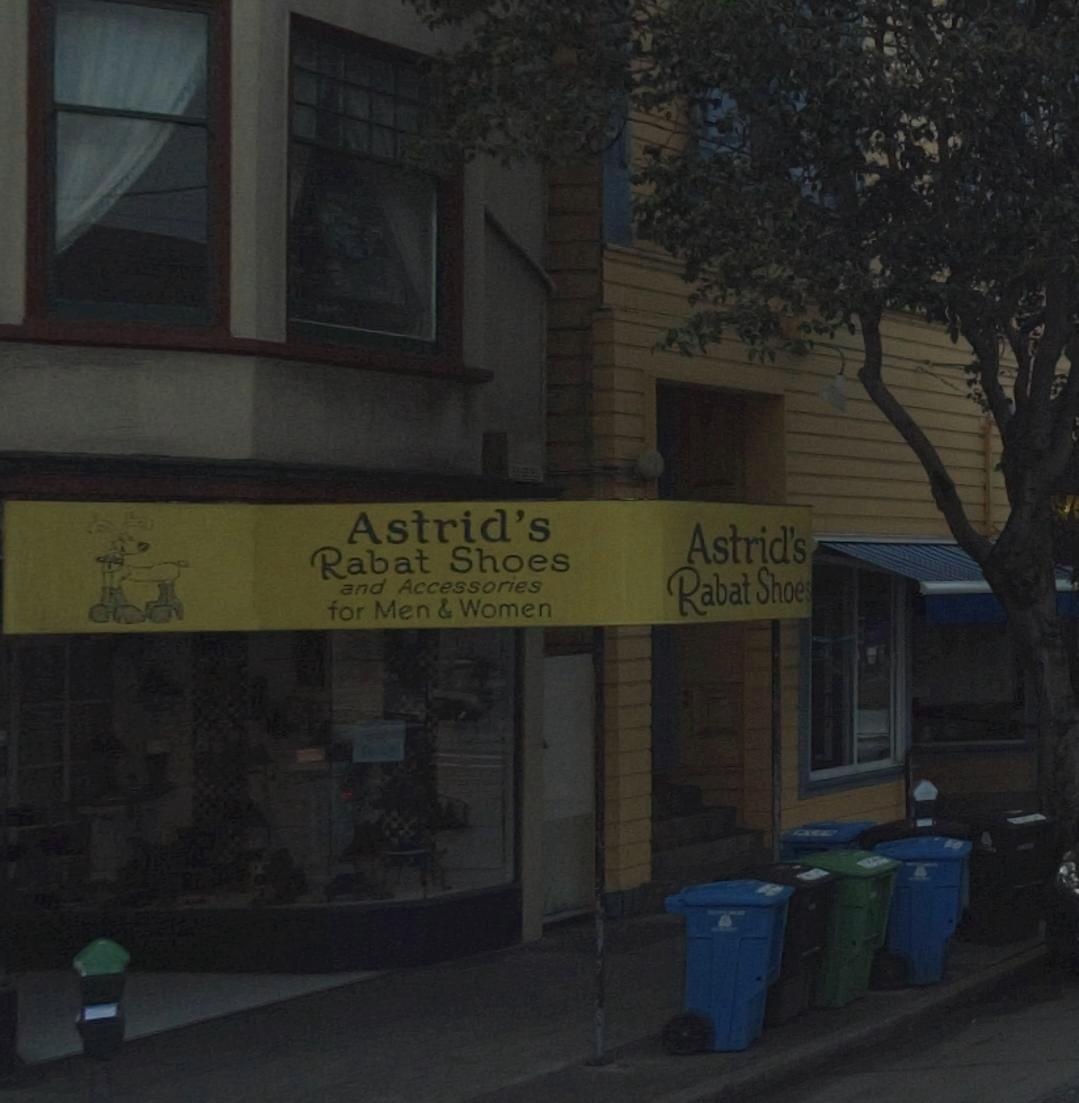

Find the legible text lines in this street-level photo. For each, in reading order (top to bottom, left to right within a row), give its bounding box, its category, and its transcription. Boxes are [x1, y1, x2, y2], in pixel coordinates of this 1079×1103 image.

[308, 544, 572, 584] BusinessName: Rabat Shoes
[343, 507, 554, 548] BusinessName: Astrid's
[684, 522, 808, 567] BusinessName: Astrid's
[326, 596, 554, 625] None: for Men & Women
[338, 574, 544, 598] None: and Accessories
[666, 565, 812, 617] BusinessName: Rabat Shoes